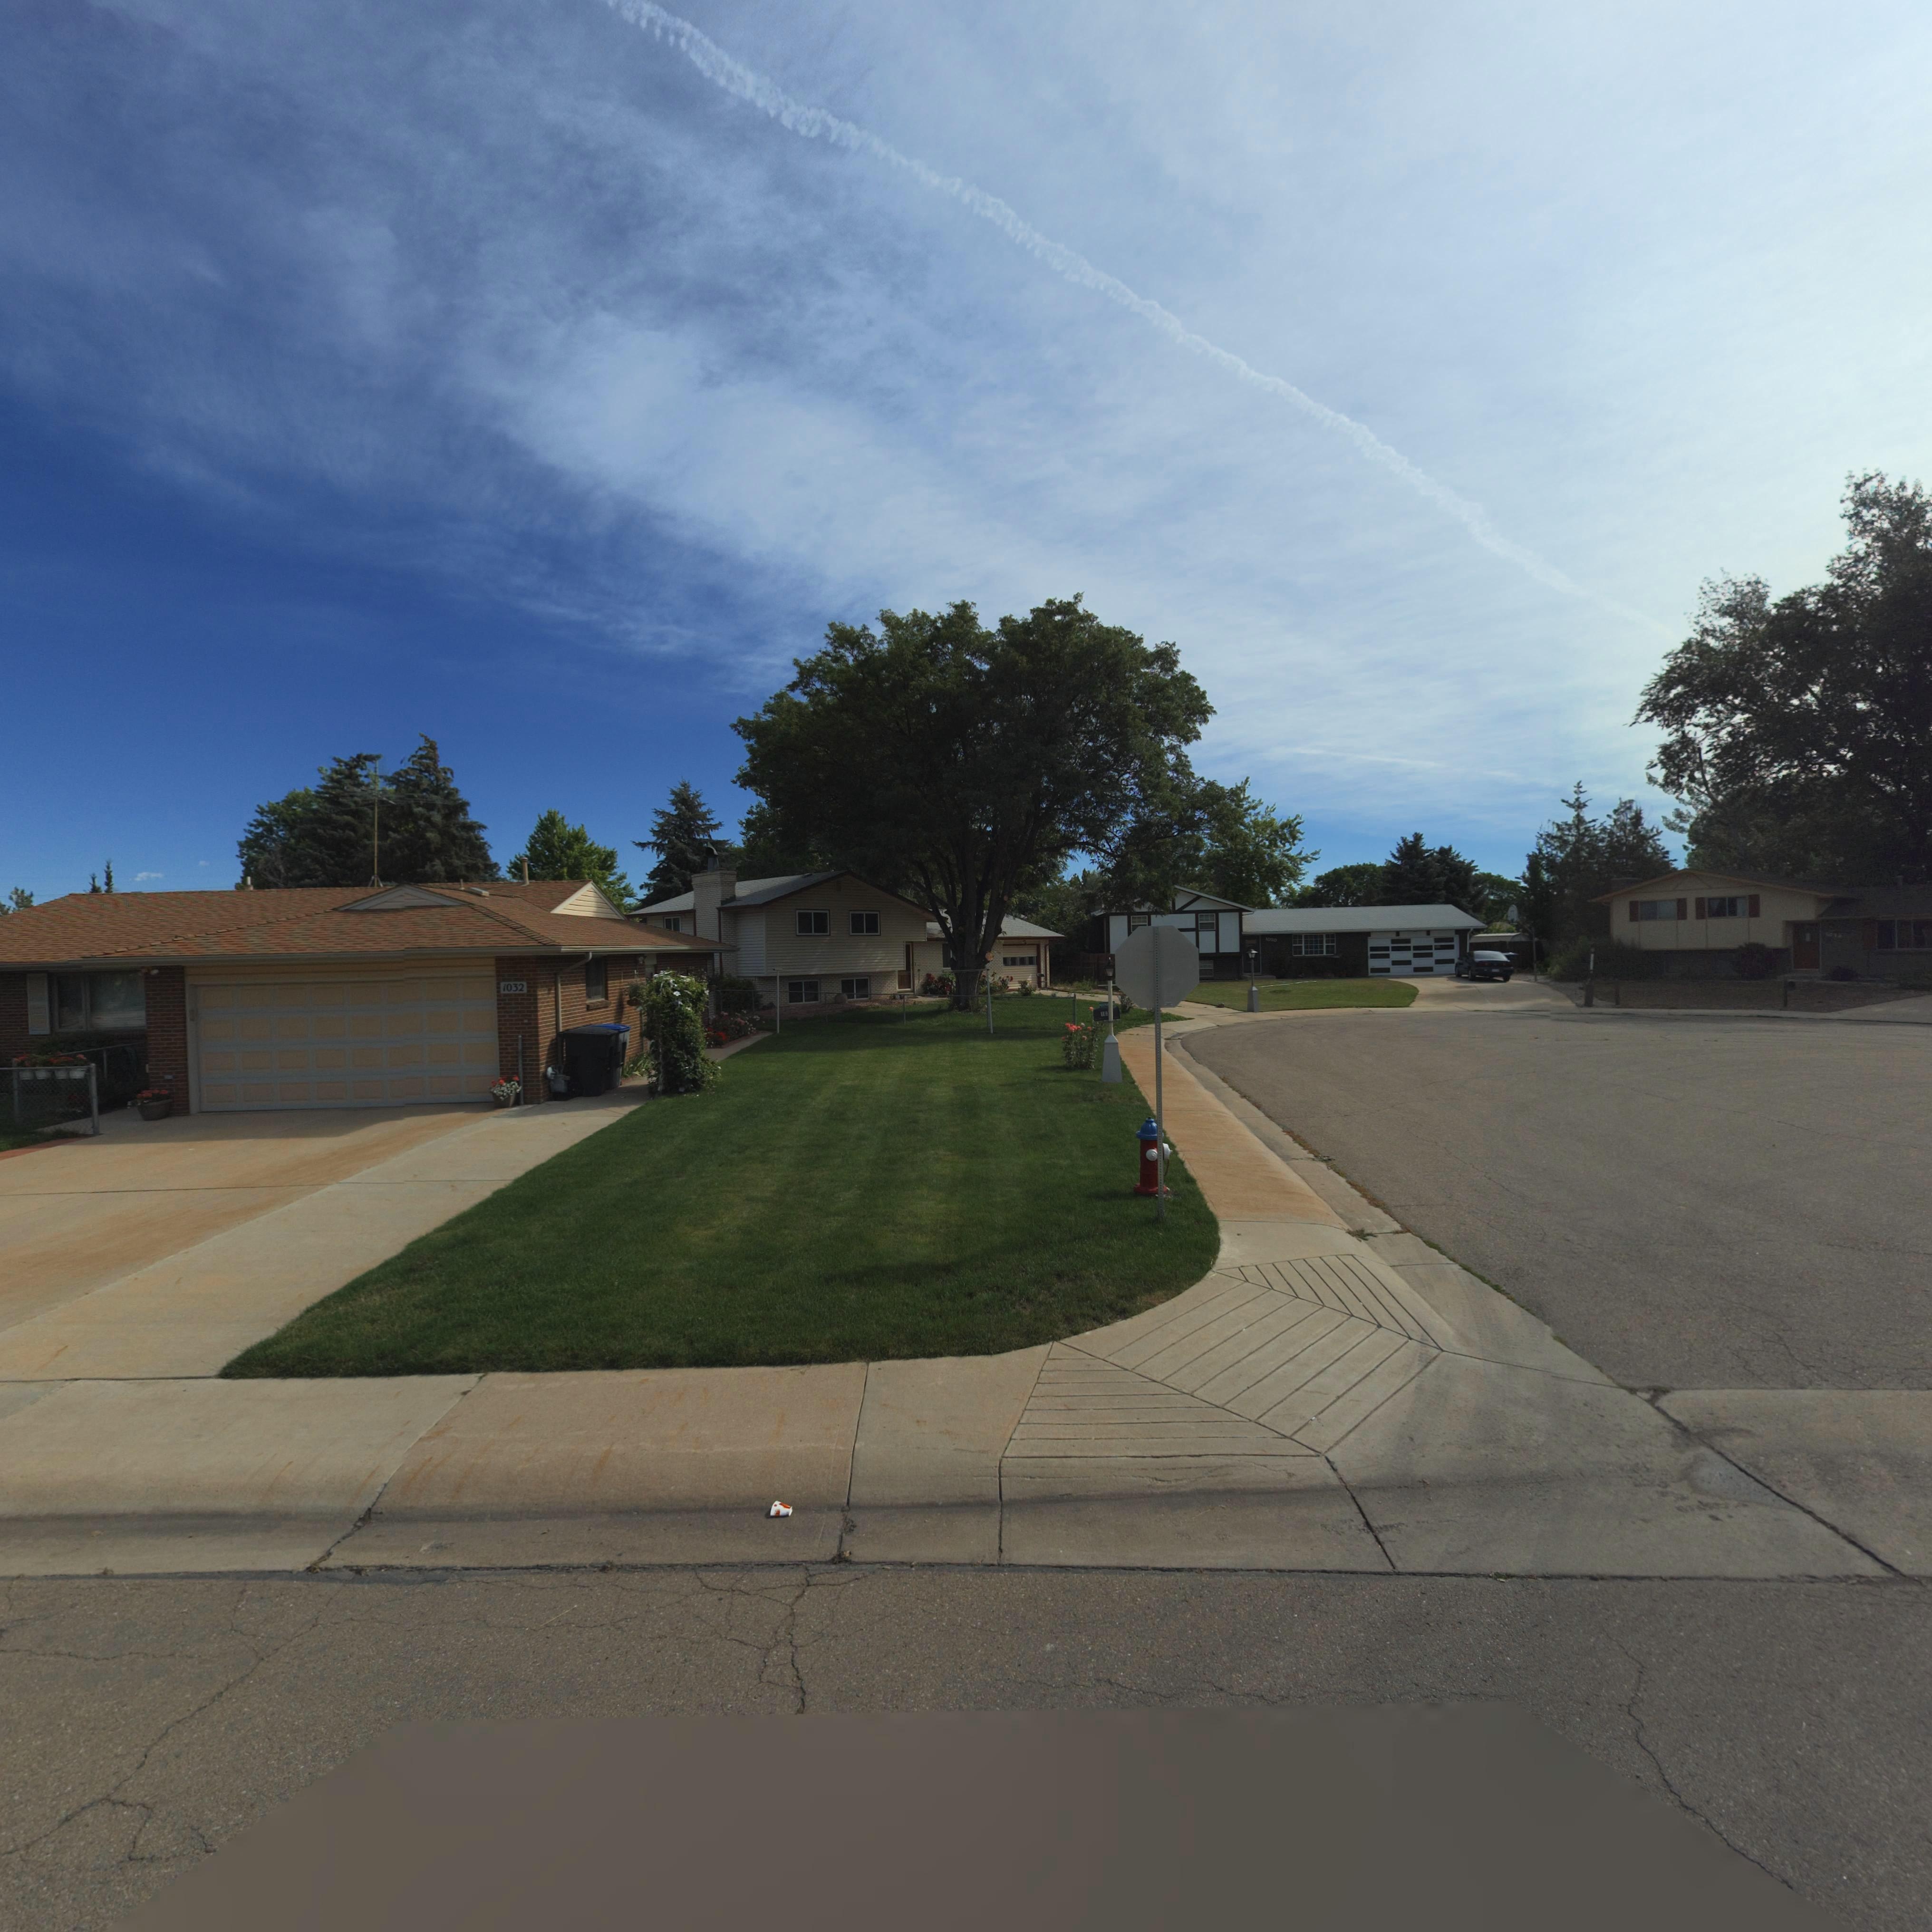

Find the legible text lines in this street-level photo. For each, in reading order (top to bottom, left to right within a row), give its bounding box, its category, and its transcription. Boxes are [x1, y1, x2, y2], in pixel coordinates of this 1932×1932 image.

[1825, 931, 1842, 938] StreetNumber: 1014
[1265, 937, 1277, 942] StreetNumber: 1020
[502, 982, 526, 993] StreetNumber: 1032
[1101, 1011, 1110, 1016] StreetNumber: 10*